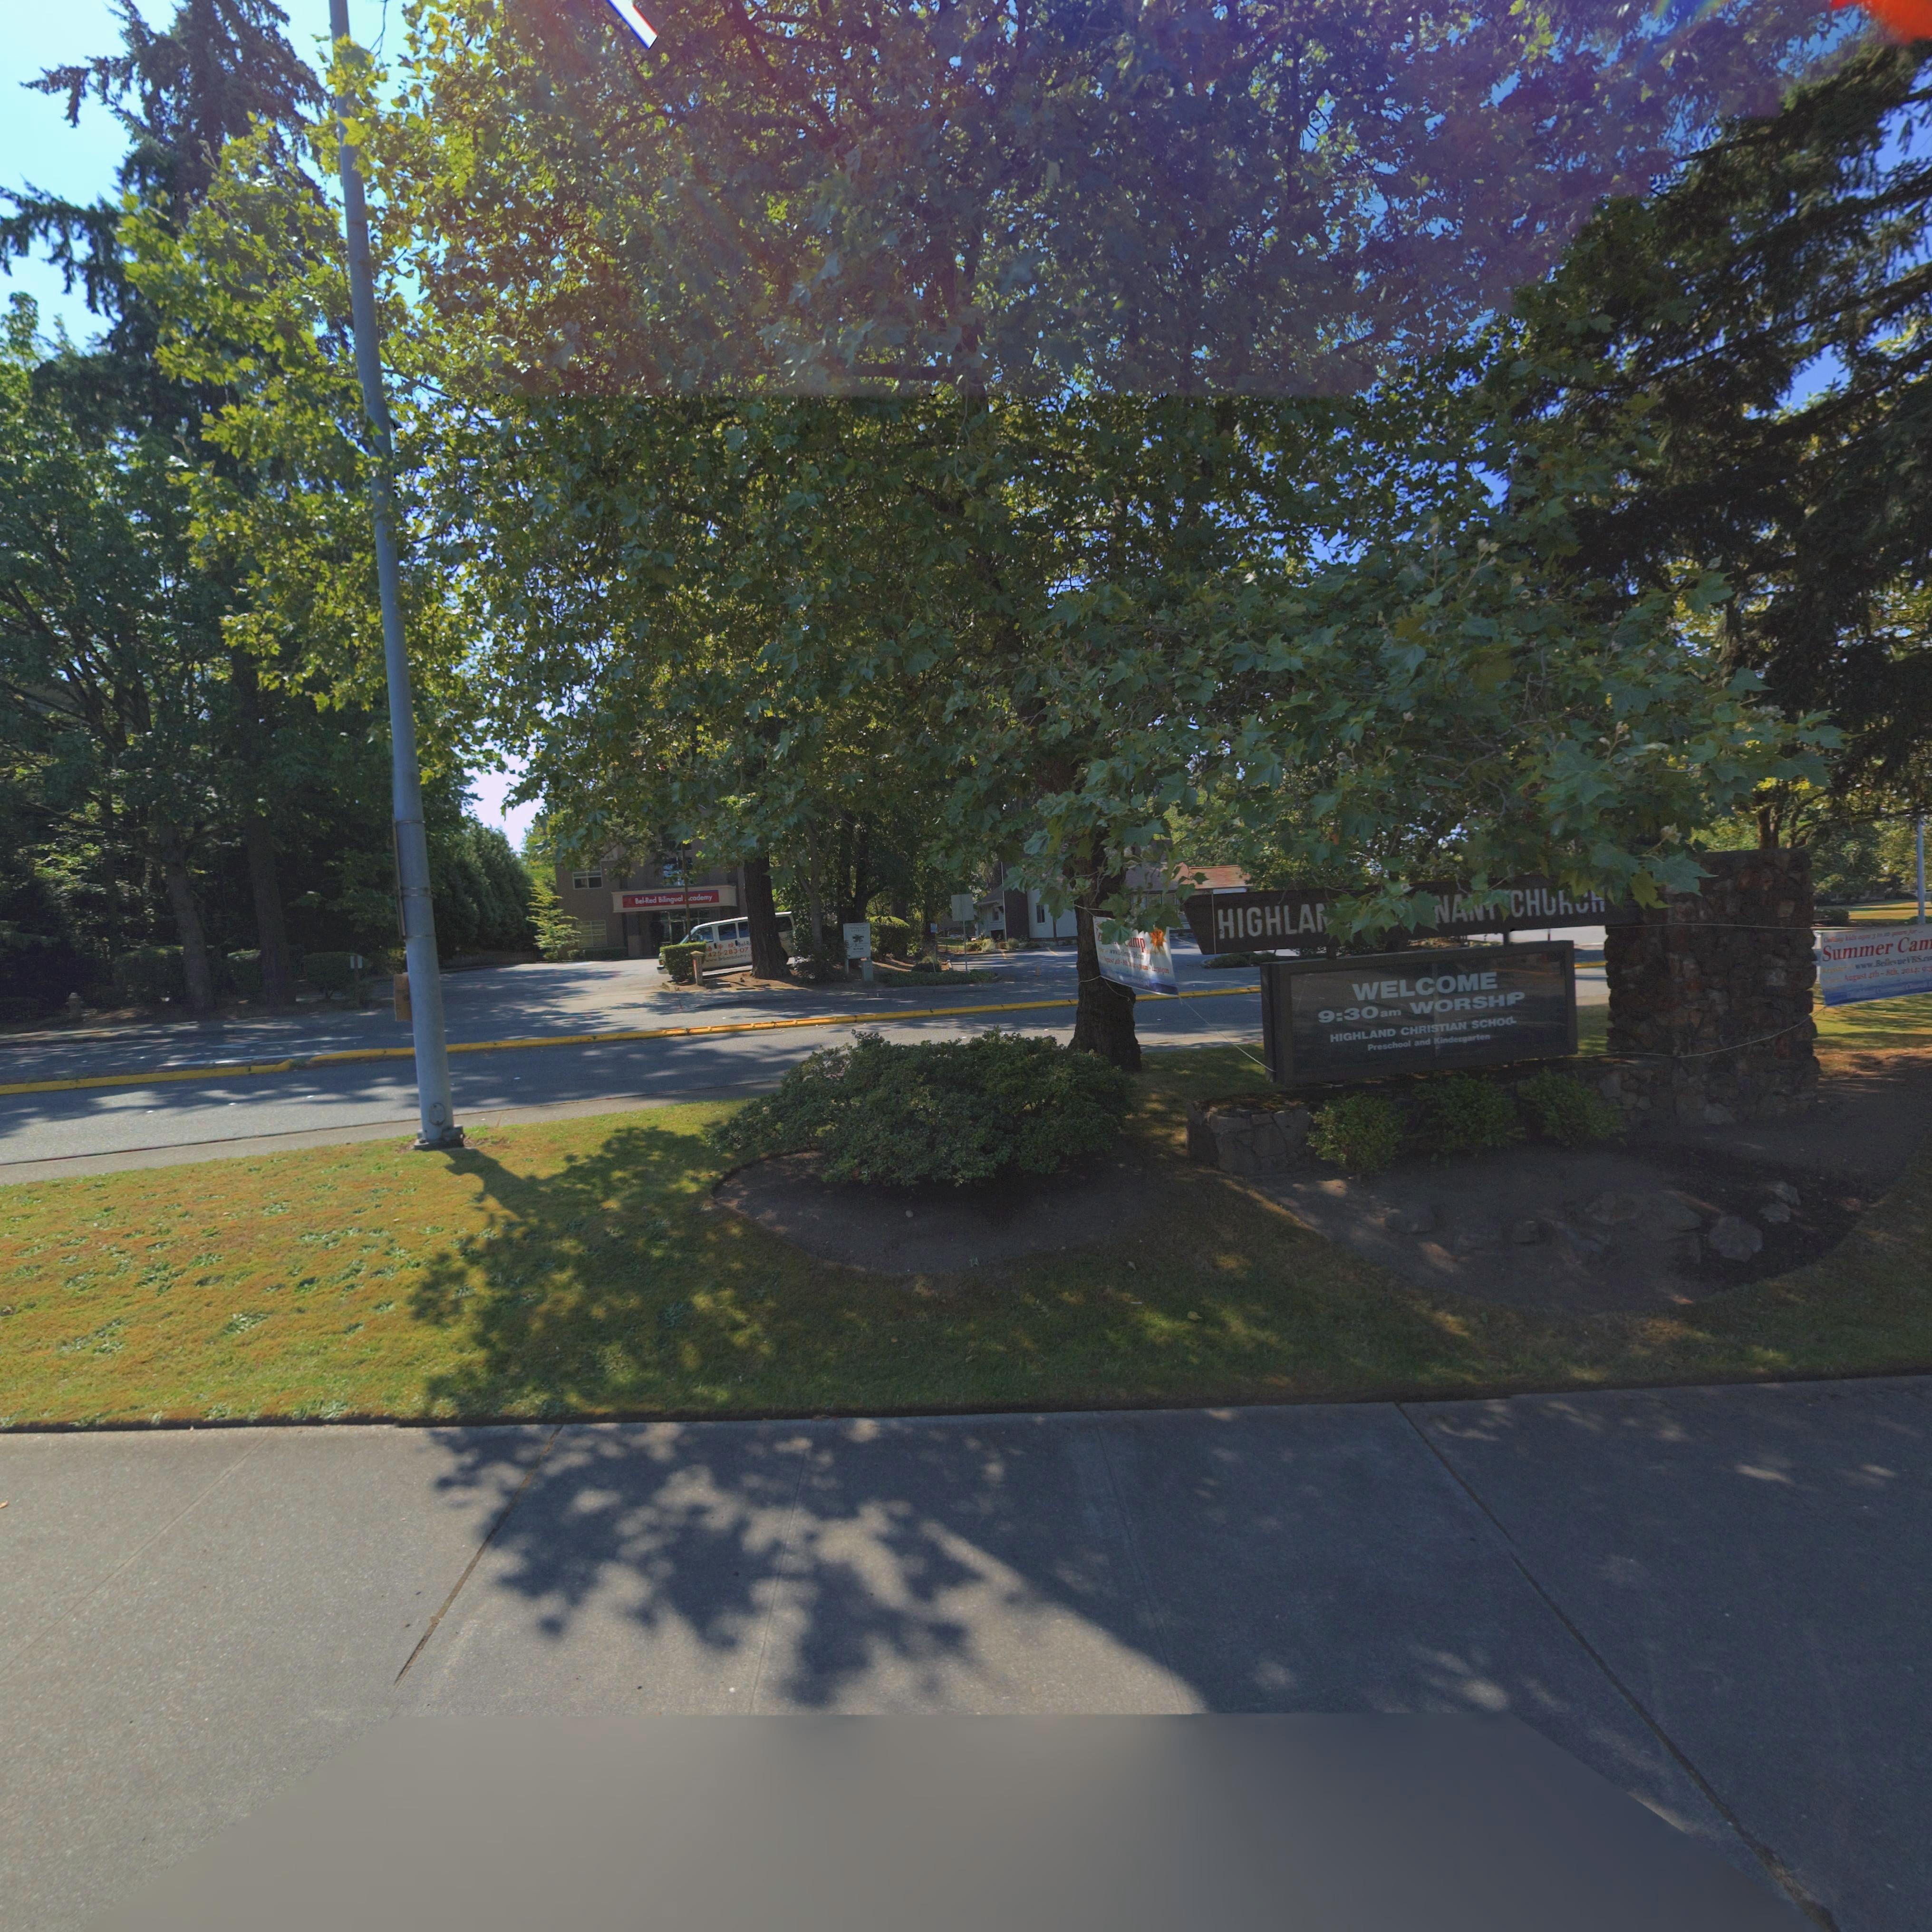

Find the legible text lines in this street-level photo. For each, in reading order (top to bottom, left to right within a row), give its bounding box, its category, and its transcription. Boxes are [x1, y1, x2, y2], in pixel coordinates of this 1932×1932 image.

[635, 893, 712, 904] BusinessName: Bel-Red Bilingual *cademy
[1217, 882, 1605, 940] BusinessName: HIGHLA** ****NAN* CHUR**
[1328, 1014, 1520, 1044] BusinessName: HIGHLAND CHRISTIAN SCHOOL
[1367, 1034, 1490, 1051] BusinessName: Preschool and Kindergarten